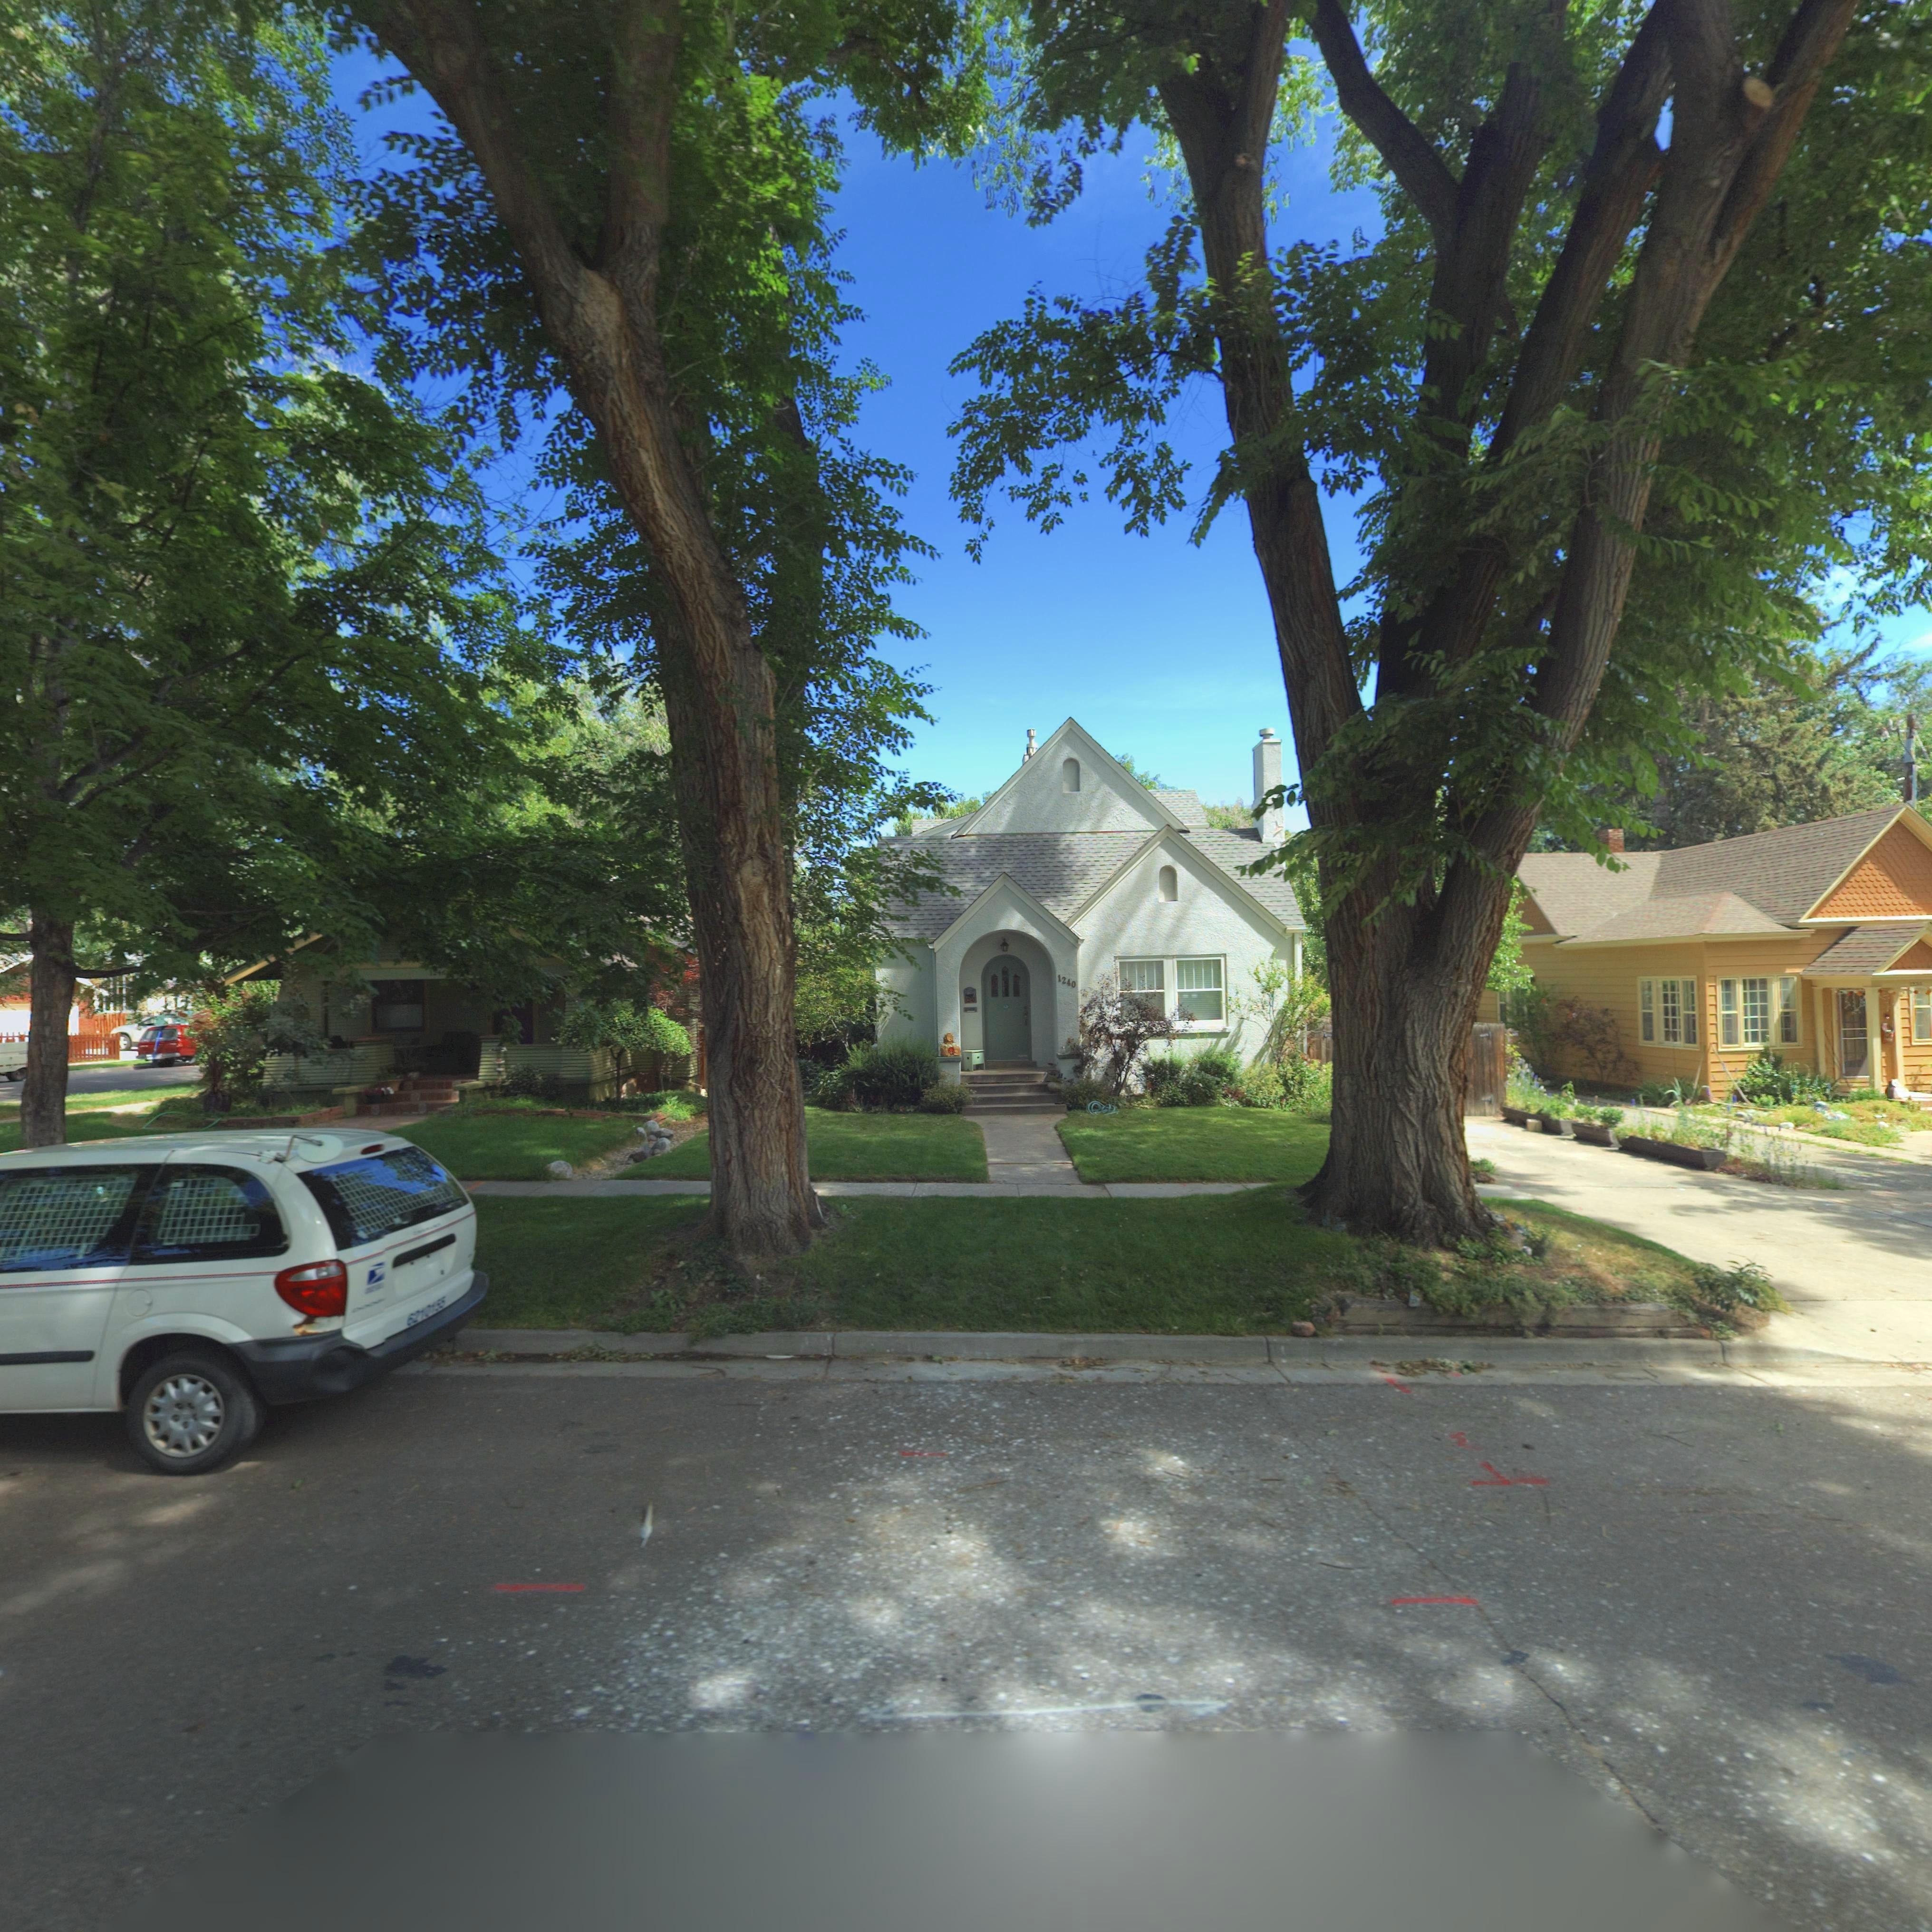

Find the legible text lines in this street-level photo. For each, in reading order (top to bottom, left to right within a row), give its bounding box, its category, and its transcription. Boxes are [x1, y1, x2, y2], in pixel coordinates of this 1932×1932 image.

[1057, 974, 1076, 988] StreetNumber: 1240